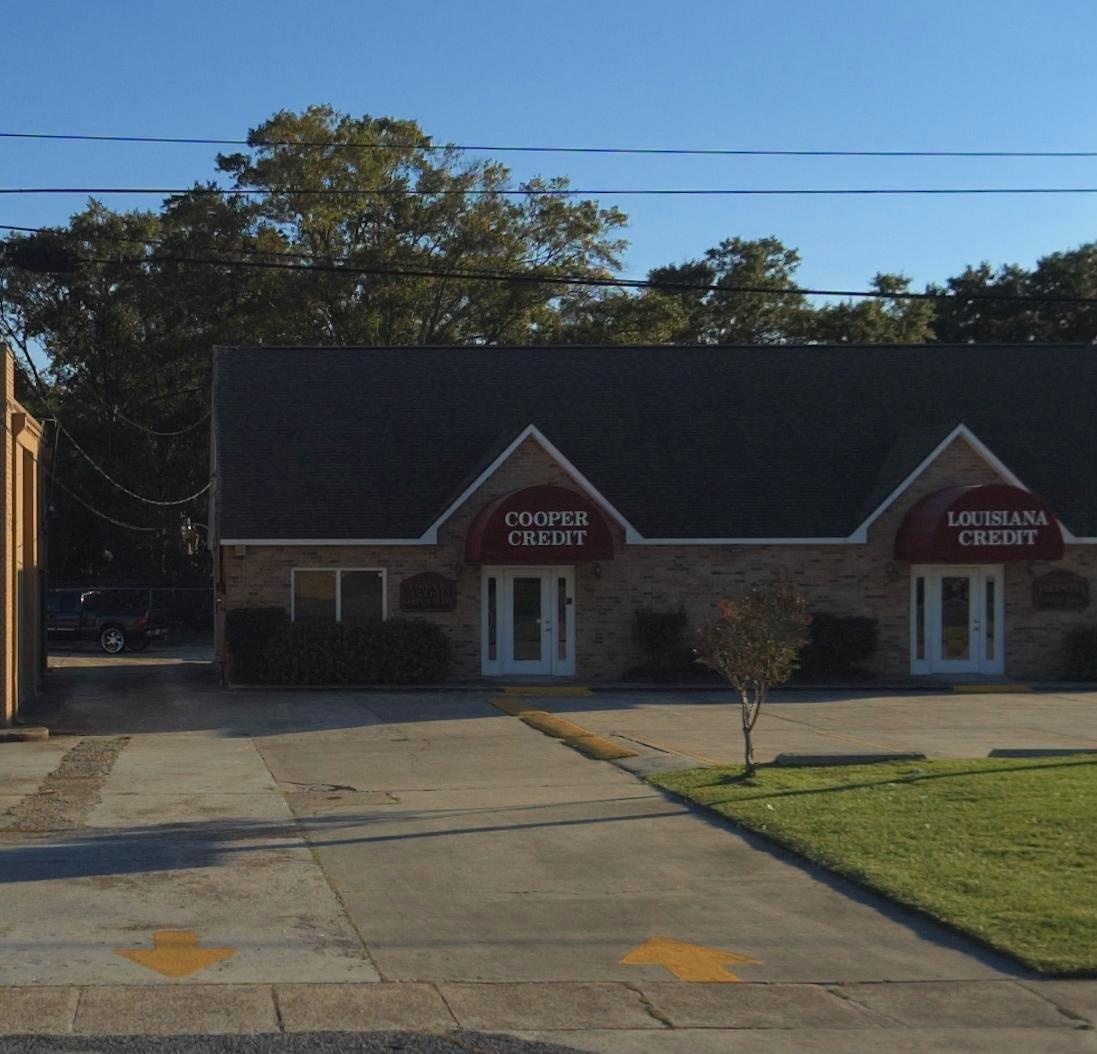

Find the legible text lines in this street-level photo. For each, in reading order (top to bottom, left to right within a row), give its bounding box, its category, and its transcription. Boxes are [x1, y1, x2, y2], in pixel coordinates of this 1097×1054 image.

[503, 510, 590, 528] BusinessName: COOPER
[945, 509, 1050, 528] BusinessName: LOUISIANA
[507, 529, 588, 546] BusinessName: CREDIT
[957, 529, 1039, 547] BusinessName: CREDIT